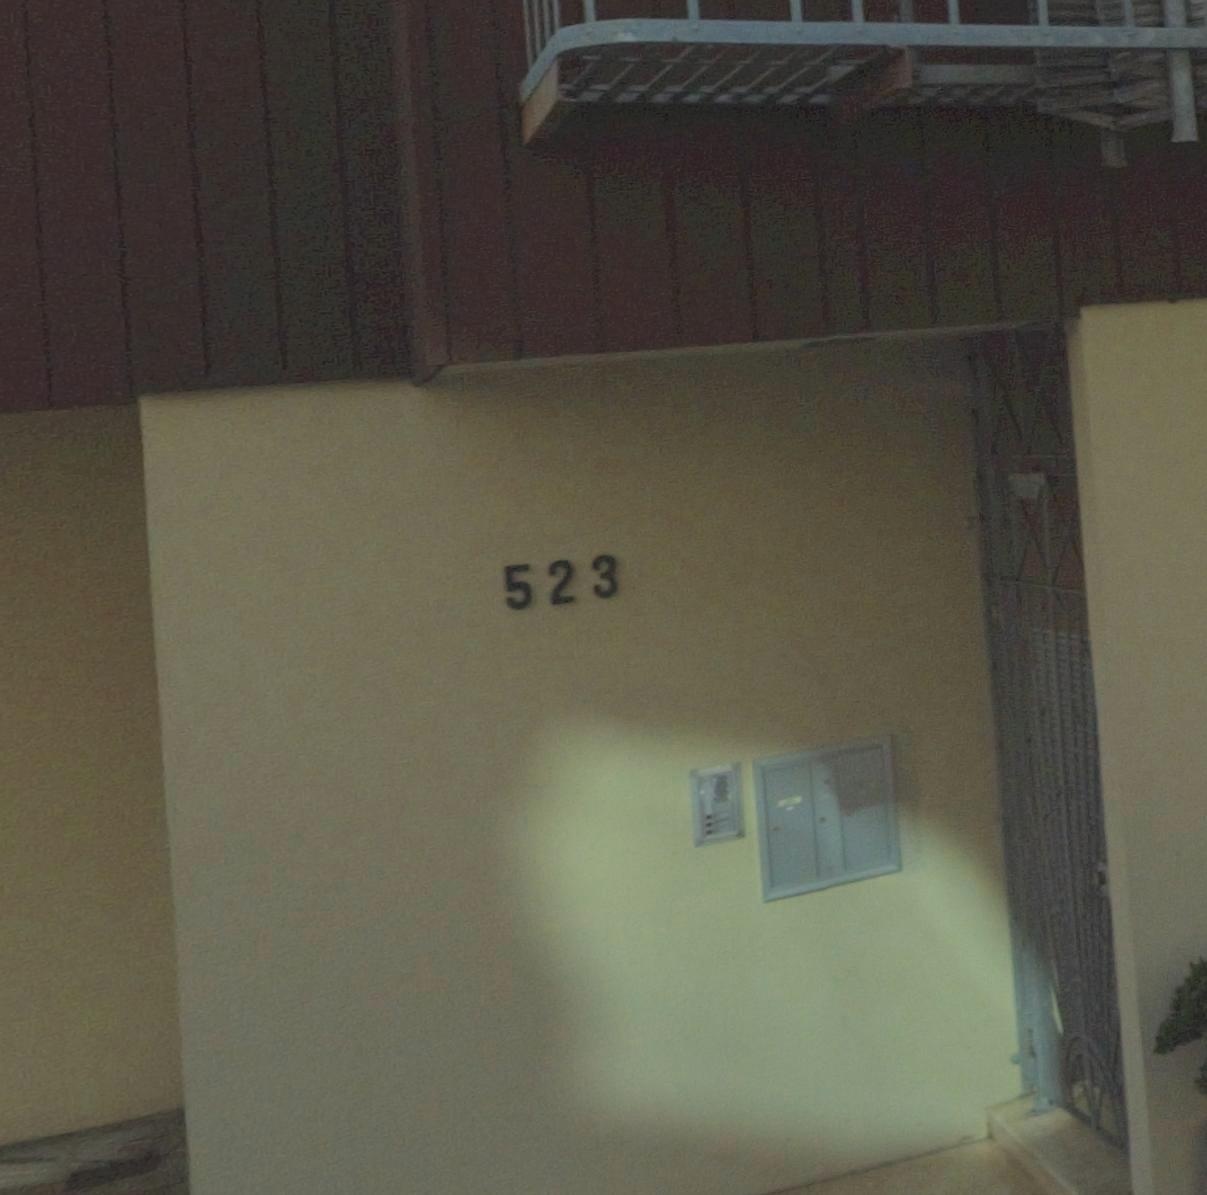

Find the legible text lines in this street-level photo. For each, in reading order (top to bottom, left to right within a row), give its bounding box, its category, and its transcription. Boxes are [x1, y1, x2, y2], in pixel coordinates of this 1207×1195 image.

[500, 545, 625, 620] StreetNumber: 523